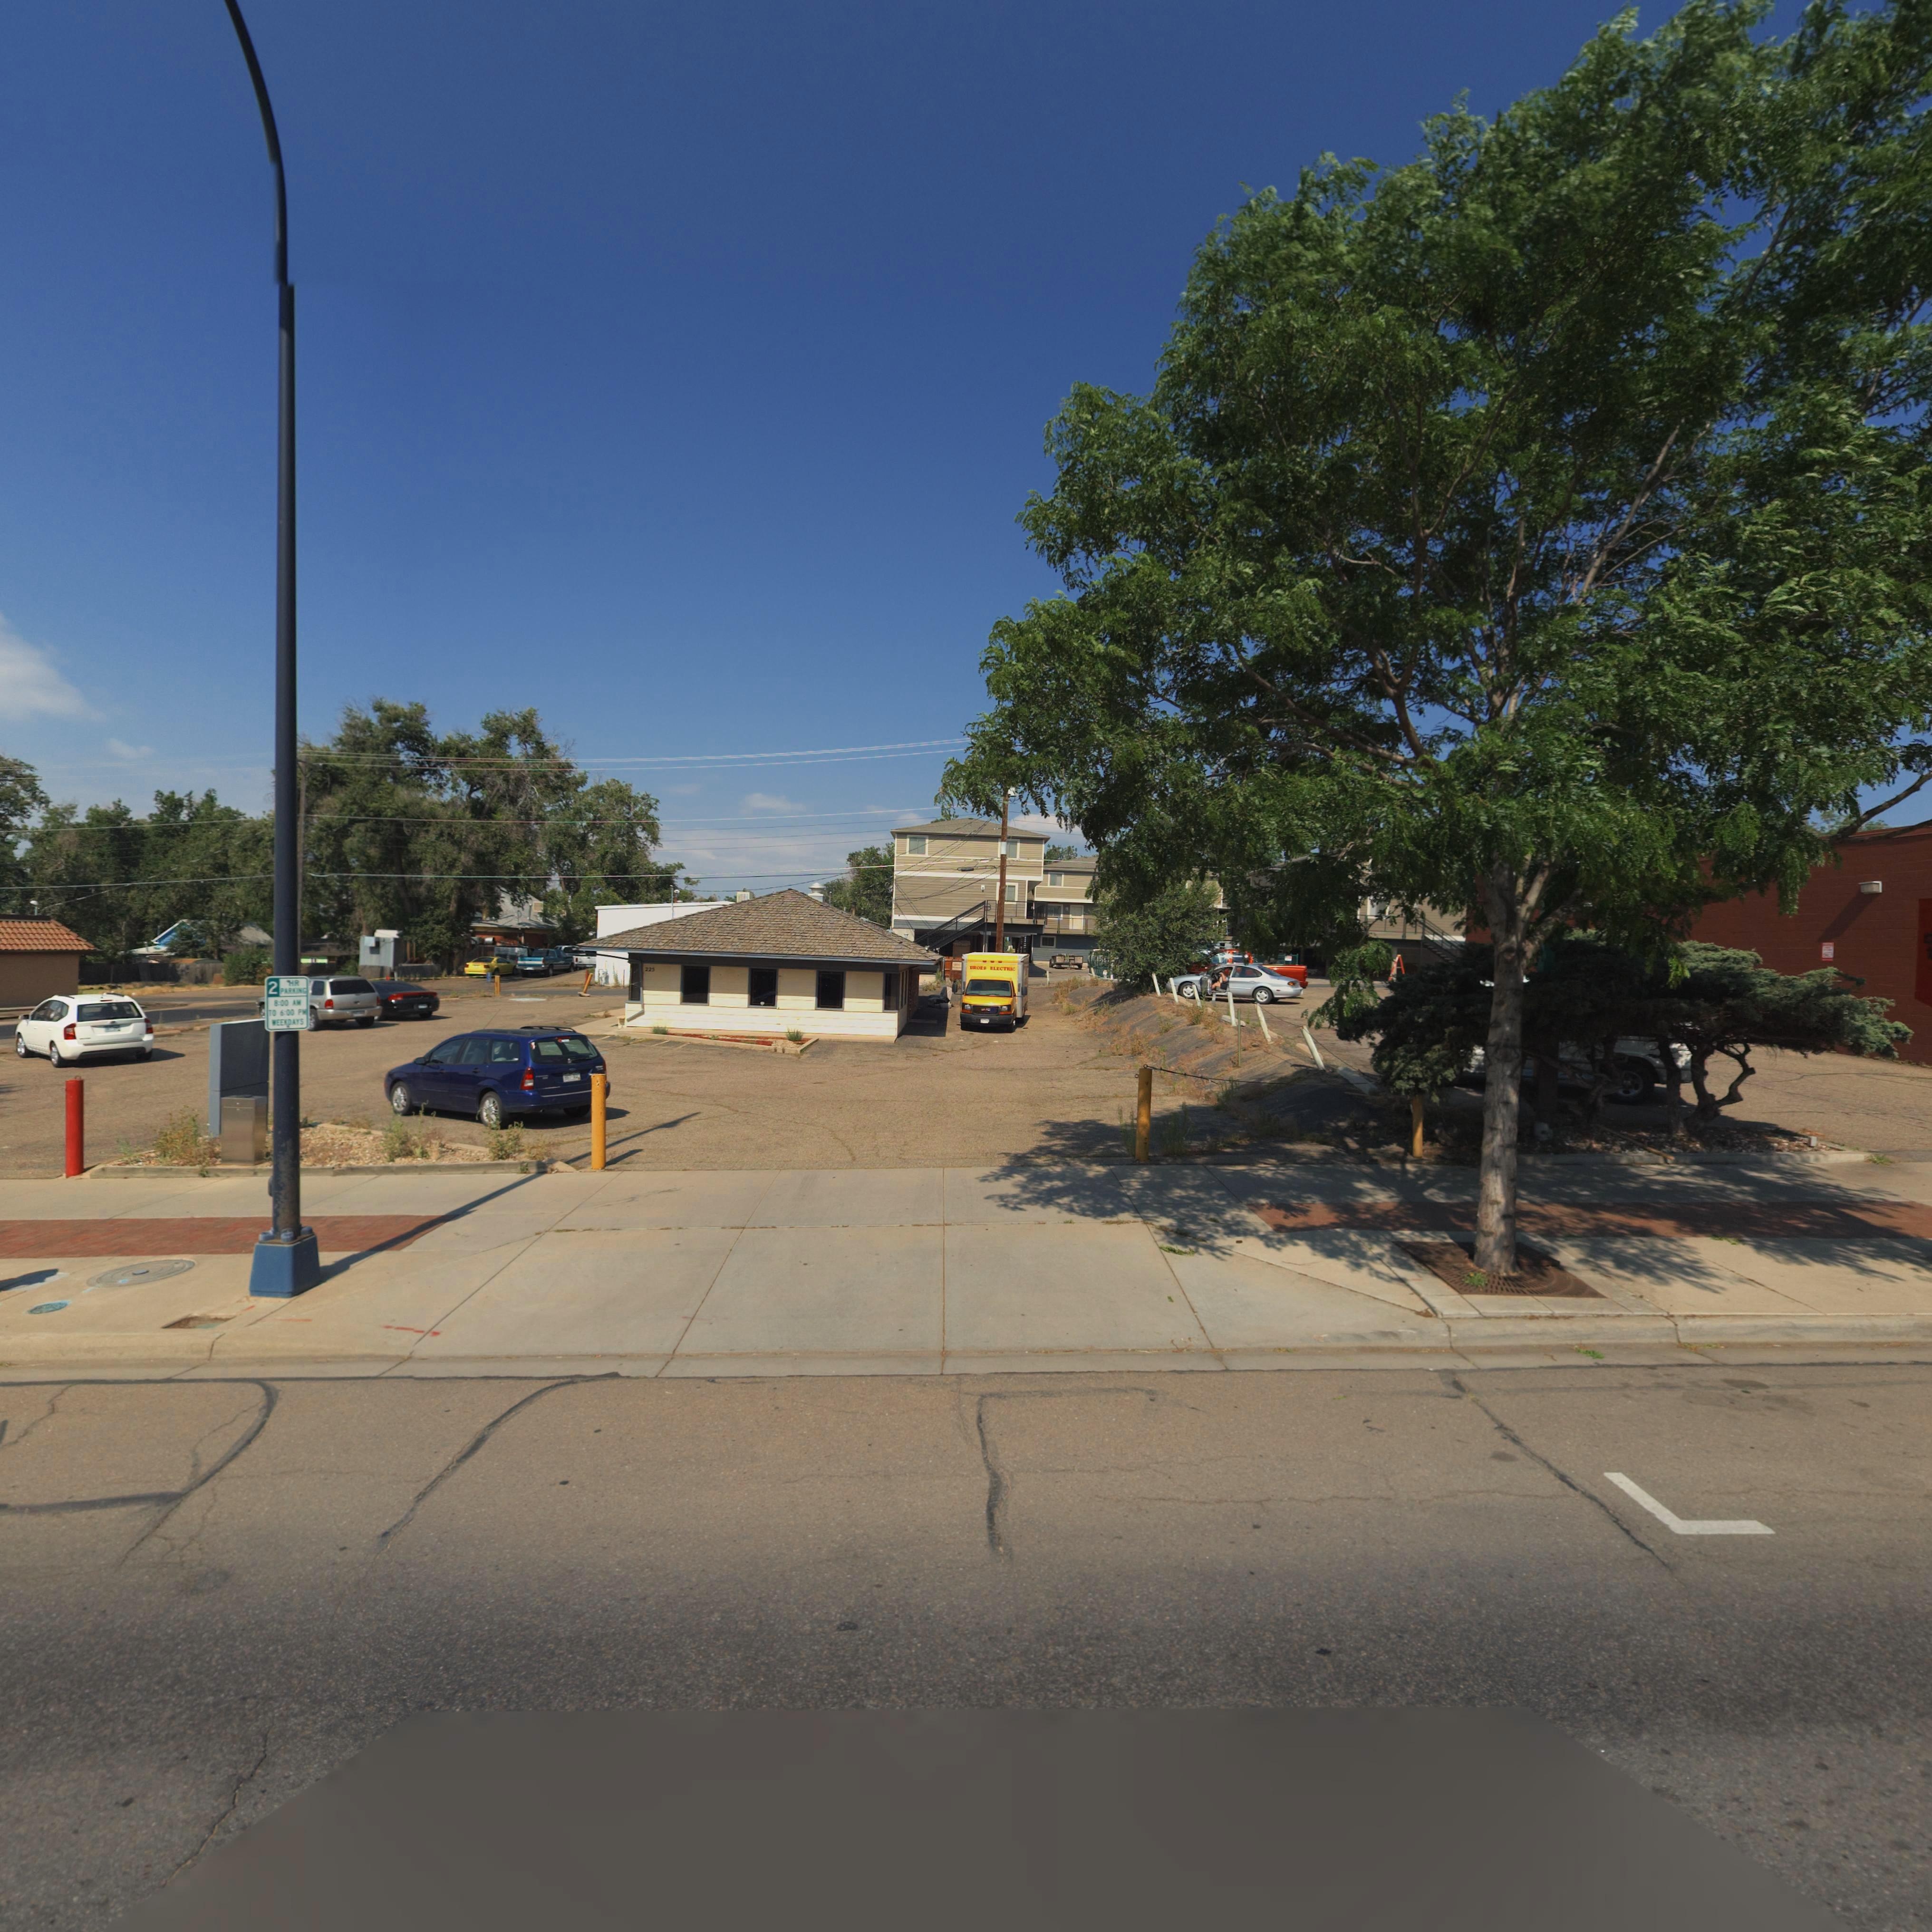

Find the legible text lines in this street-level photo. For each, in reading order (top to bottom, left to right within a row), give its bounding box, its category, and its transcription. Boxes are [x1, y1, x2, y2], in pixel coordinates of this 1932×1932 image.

[644, 966, 655, 972] StreetNumber: 225